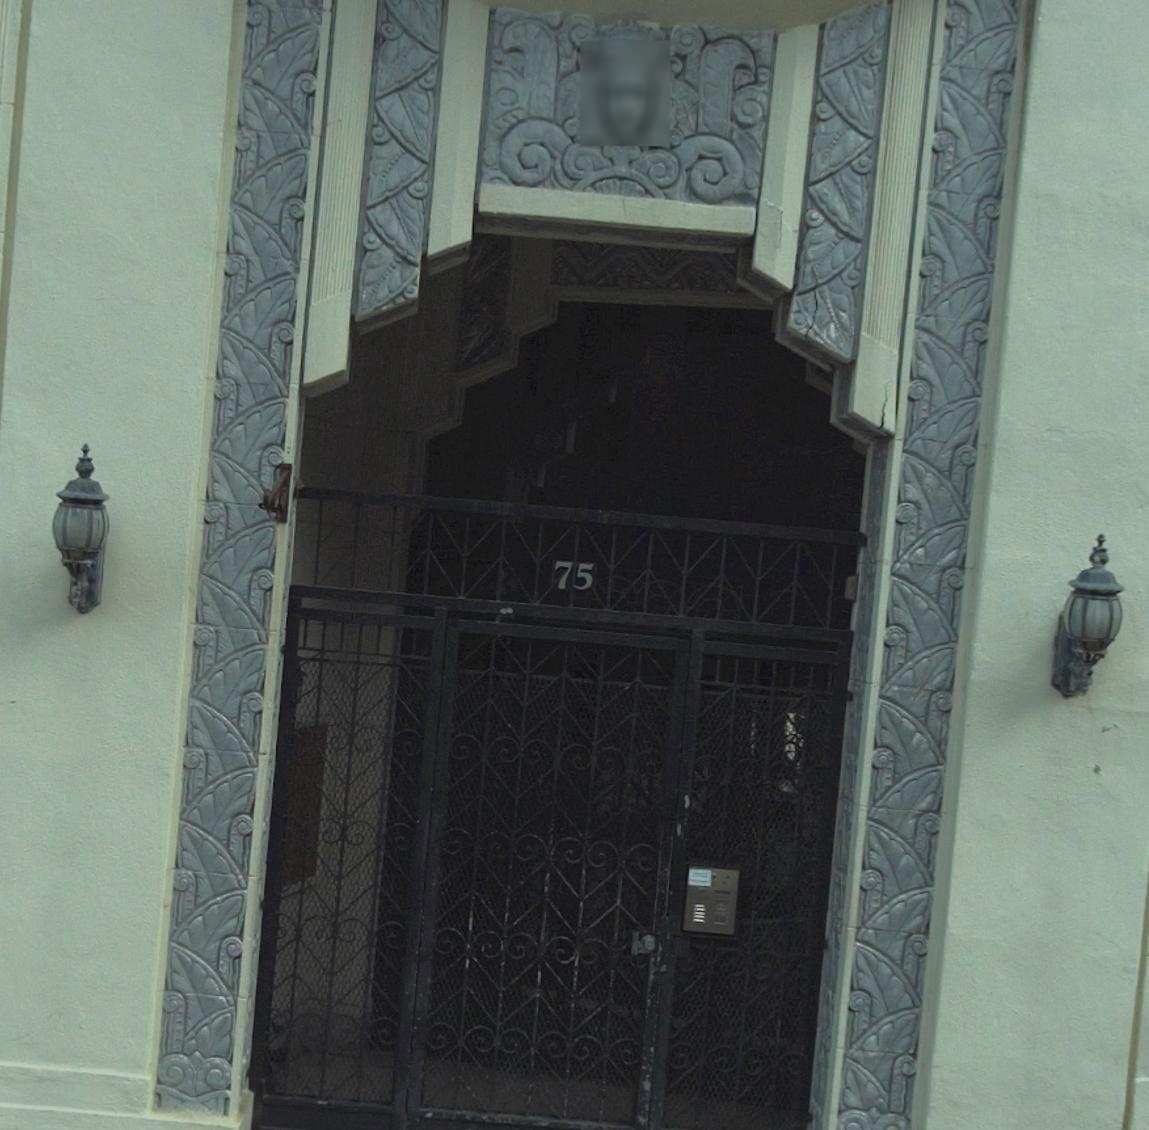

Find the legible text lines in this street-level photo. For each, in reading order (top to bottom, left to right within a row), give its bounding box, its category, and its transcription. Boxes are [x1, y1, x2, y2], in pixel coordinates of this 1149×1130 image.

[551, 558, 597, 593] StreetNumber: 75